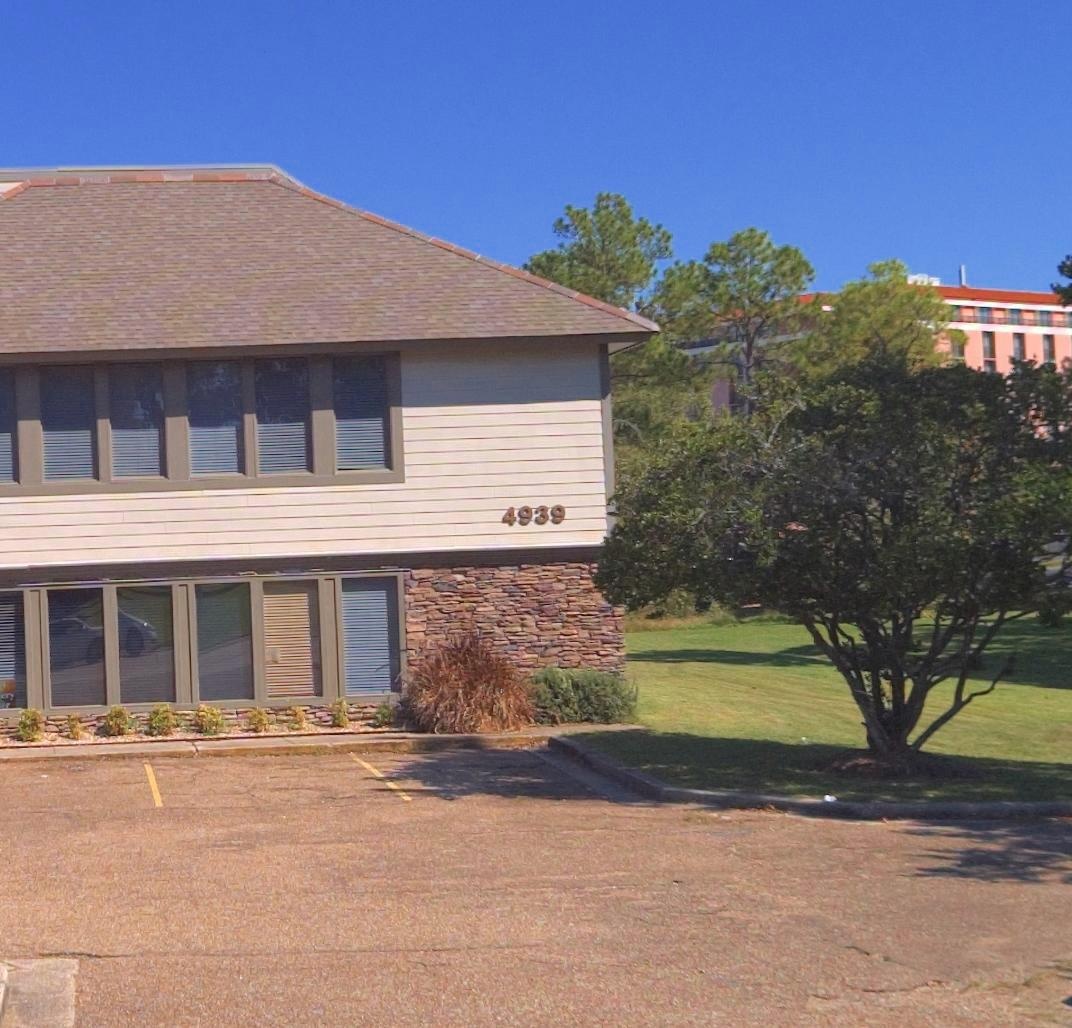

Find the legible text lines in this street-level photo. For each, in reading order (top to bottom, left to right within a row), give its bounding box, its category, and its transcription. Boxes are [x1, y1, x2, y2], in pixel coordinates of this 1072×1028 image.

[495, 502, 568, 529] StreetNumber: 4939